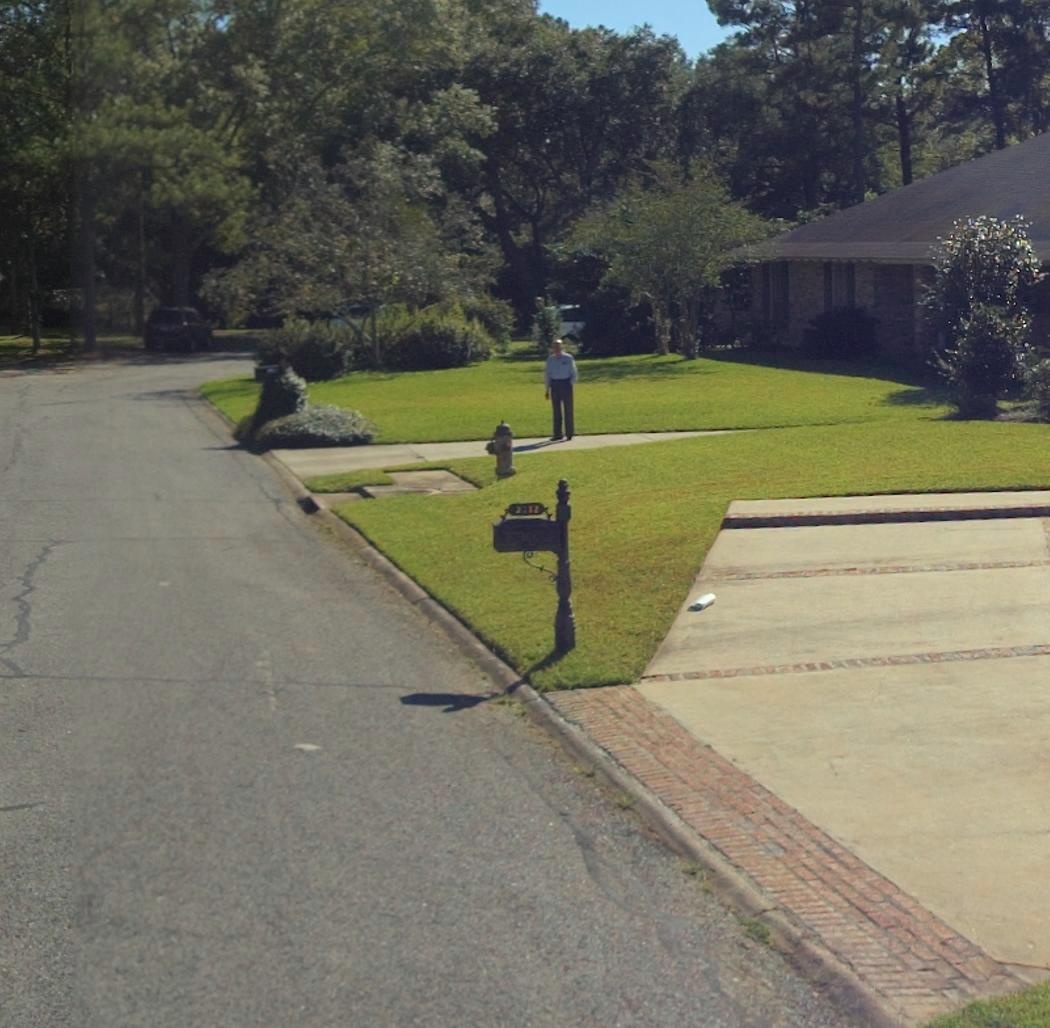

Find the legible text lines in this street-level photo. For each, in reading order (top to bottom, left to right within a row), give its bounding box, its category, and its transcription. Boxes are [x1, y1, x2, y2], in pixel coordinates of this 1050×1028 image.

[513, 504, 541, 515] StreetNumber: 2212